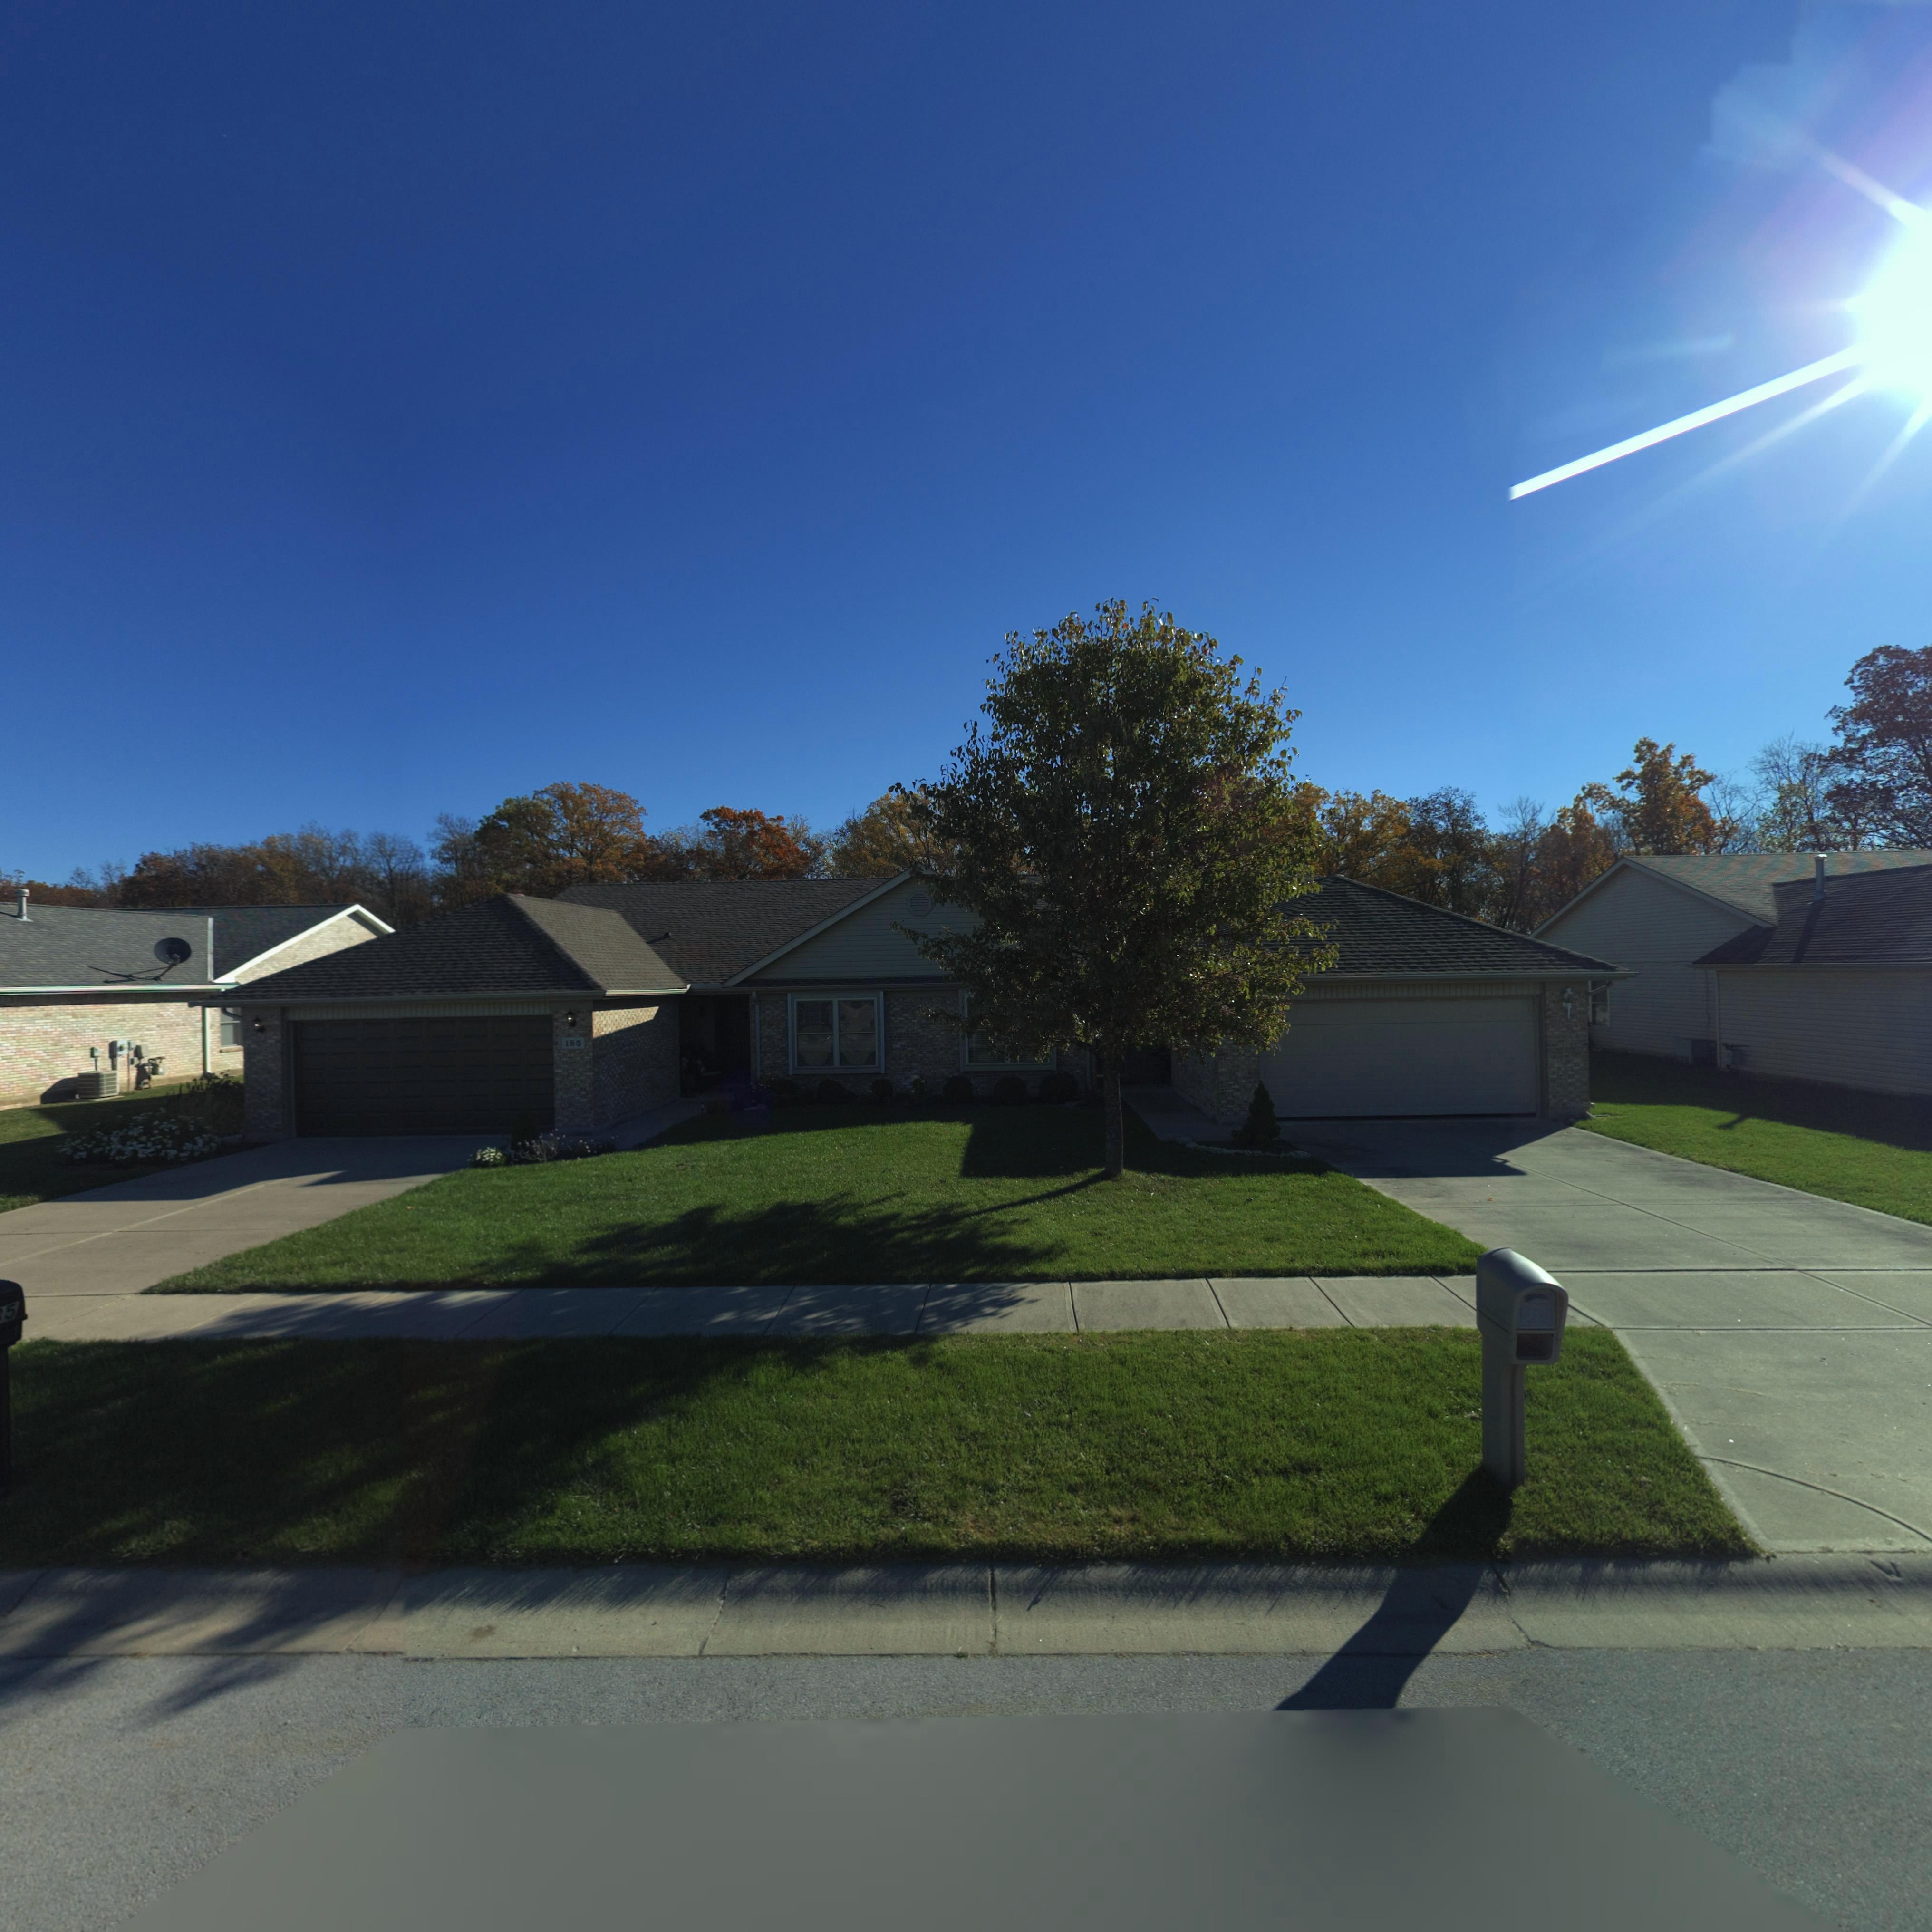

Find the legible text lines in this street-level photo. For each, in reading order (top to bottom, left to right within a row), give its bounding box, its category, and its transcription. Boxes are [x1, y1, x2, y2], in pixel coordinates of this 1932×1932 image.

[564, 1039, 582, 1047] StreetNumber: 185